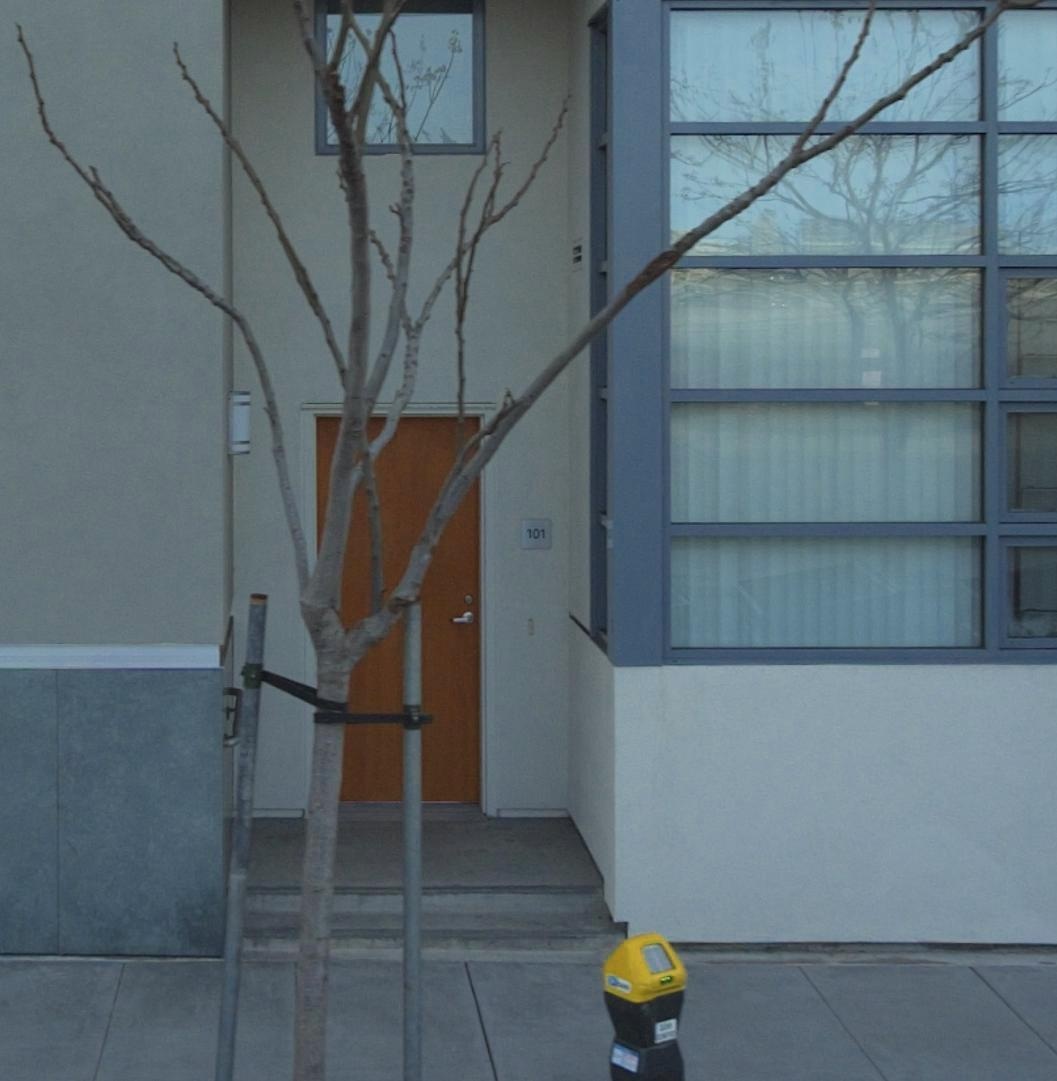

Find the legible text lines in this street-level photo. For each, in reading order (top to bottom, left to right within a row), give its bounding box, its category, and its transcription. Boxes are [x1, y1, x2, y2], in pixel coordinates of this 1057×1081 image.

[524, 526, 548, 542] StreetNumber: 101